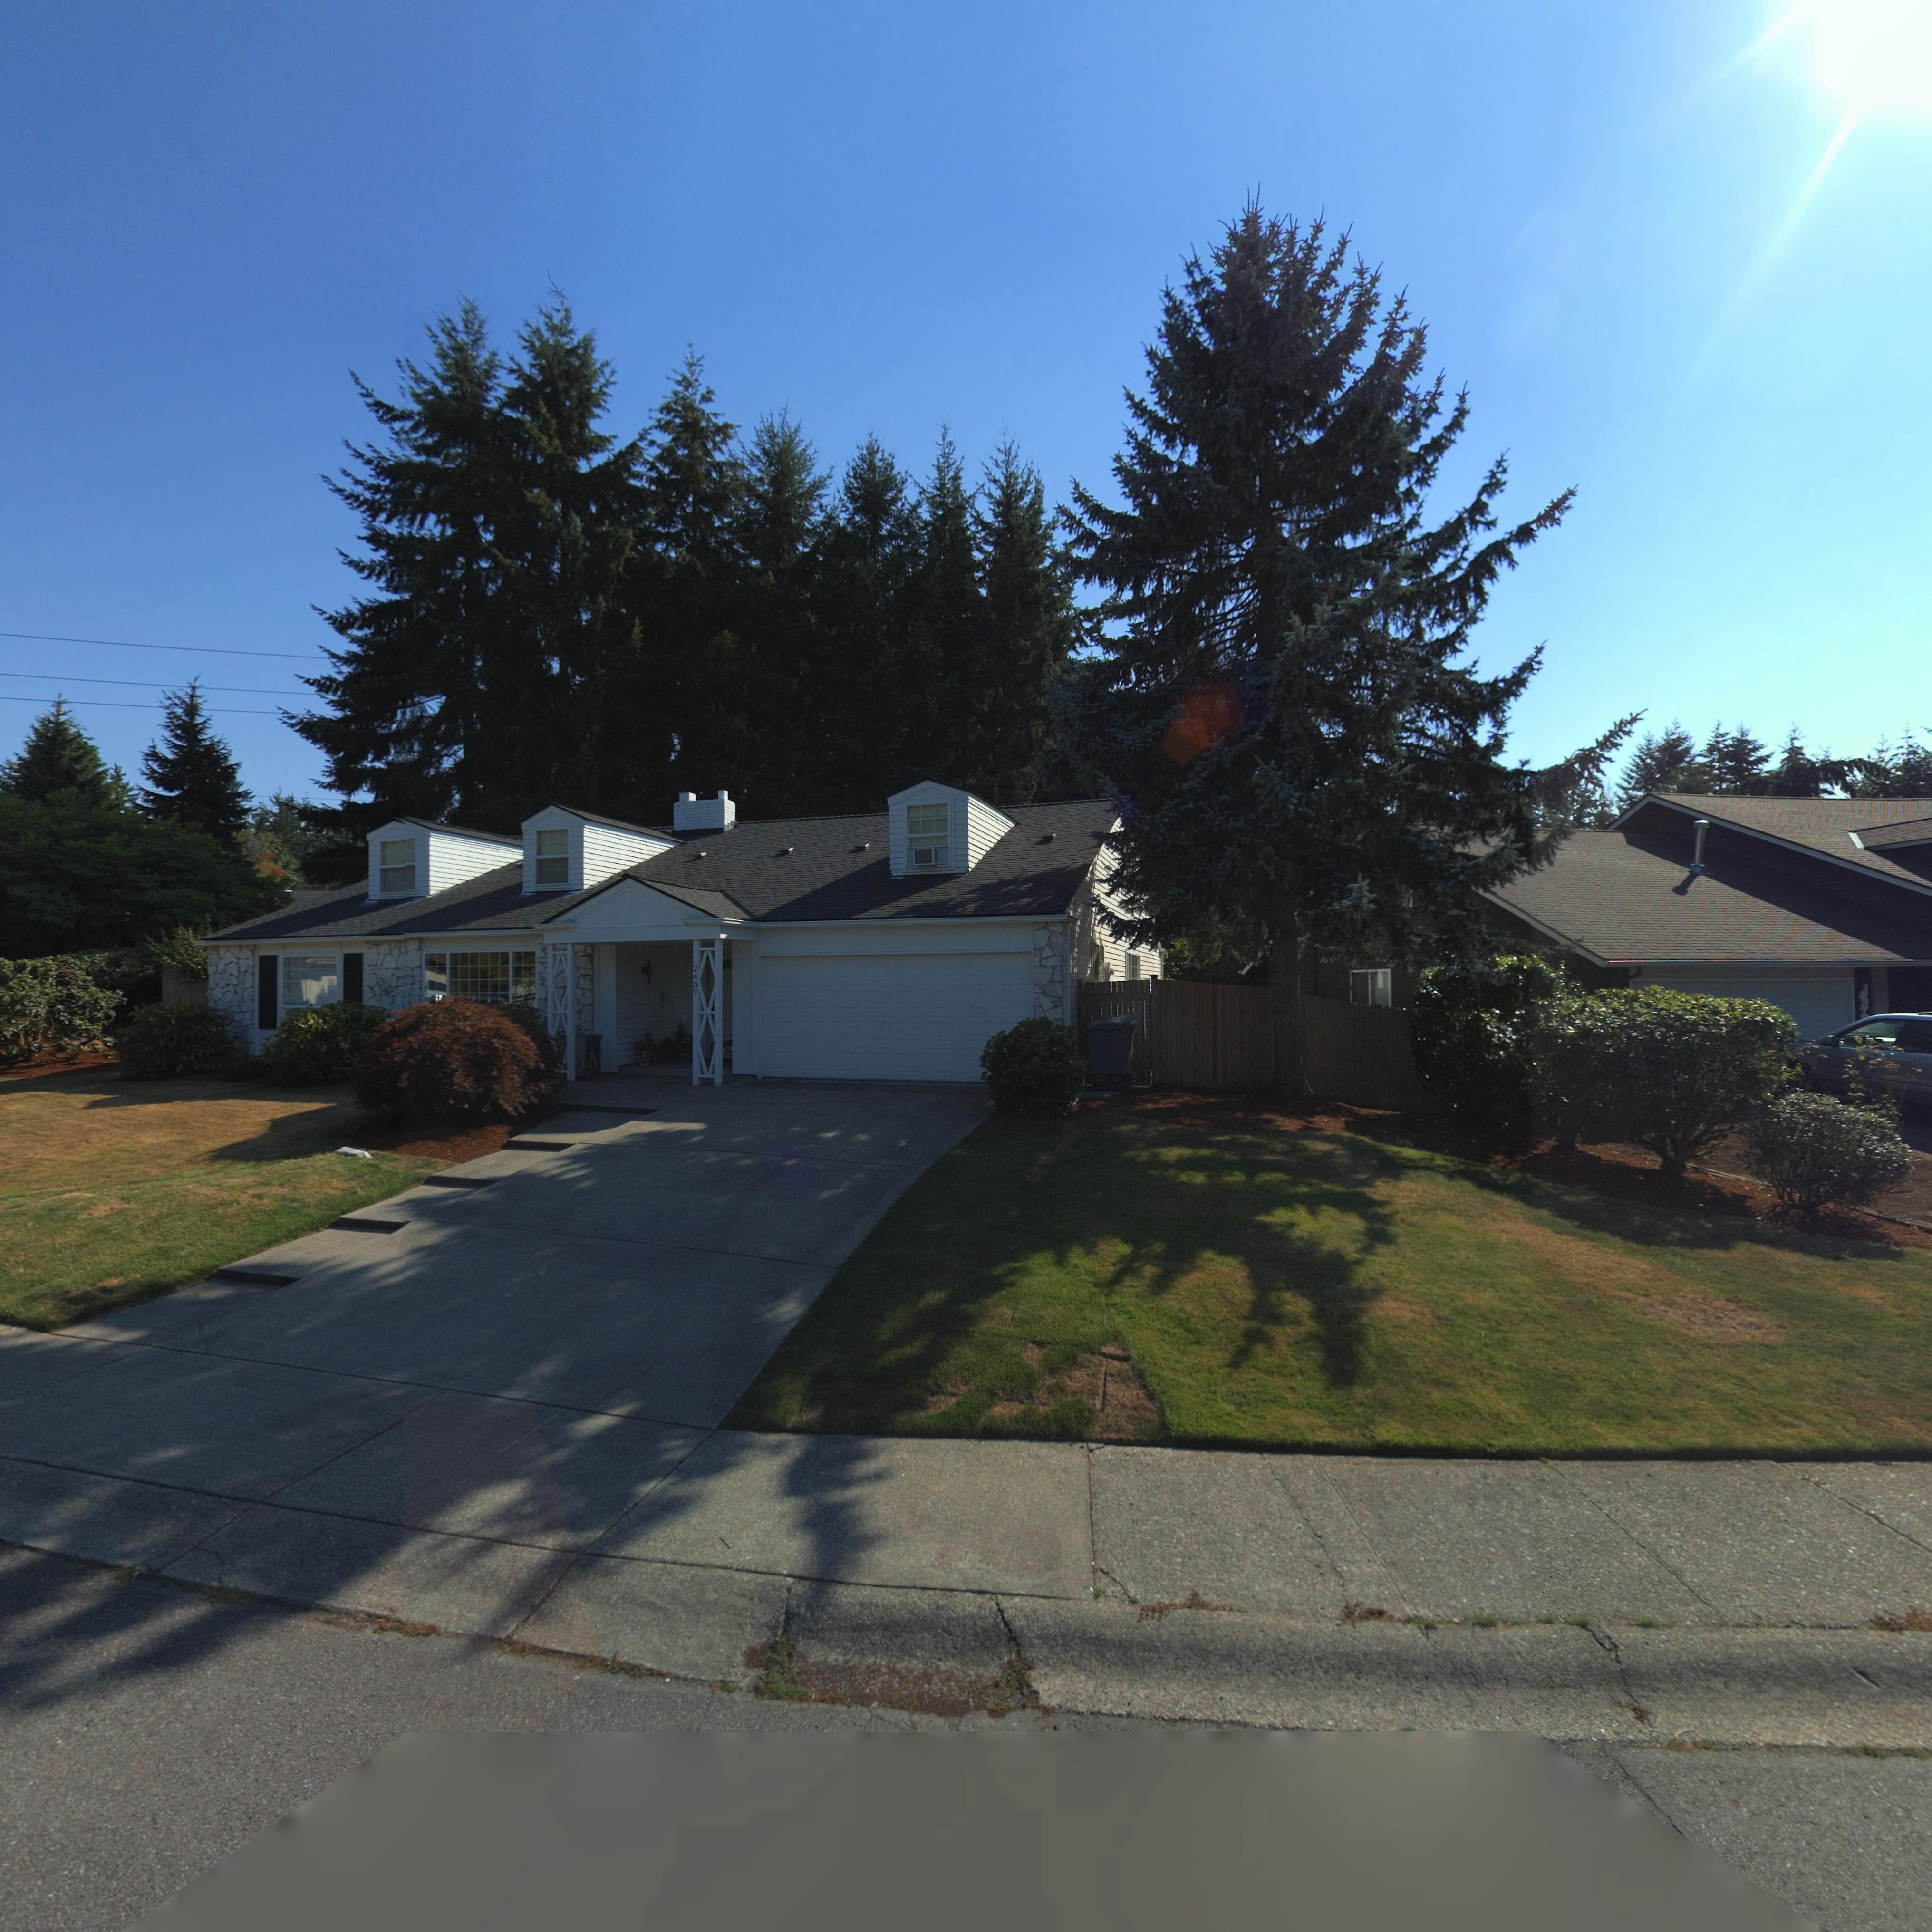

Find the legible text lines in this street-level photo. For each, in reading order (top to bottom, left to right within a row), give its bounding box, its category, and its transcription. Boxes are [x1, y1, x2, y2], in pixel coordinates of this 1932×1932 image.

[692, 964, 698, 996] StreetNumber: 2407